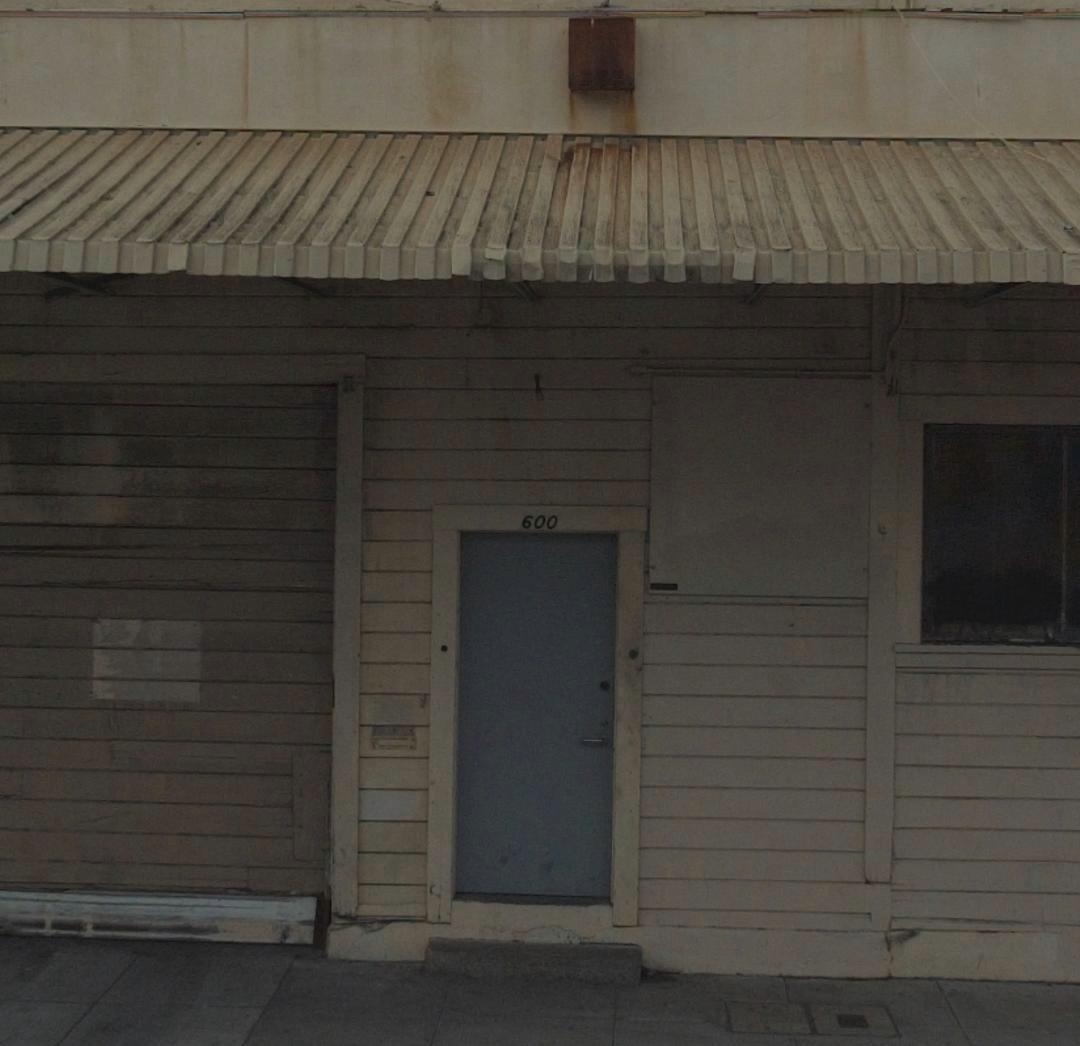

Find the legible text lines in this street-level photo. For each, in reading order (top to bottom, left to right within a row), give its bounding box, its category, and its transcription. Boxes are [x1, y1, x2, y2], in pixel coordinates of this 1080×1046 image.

[520, 513, 559, 530] StreetNumber: 600